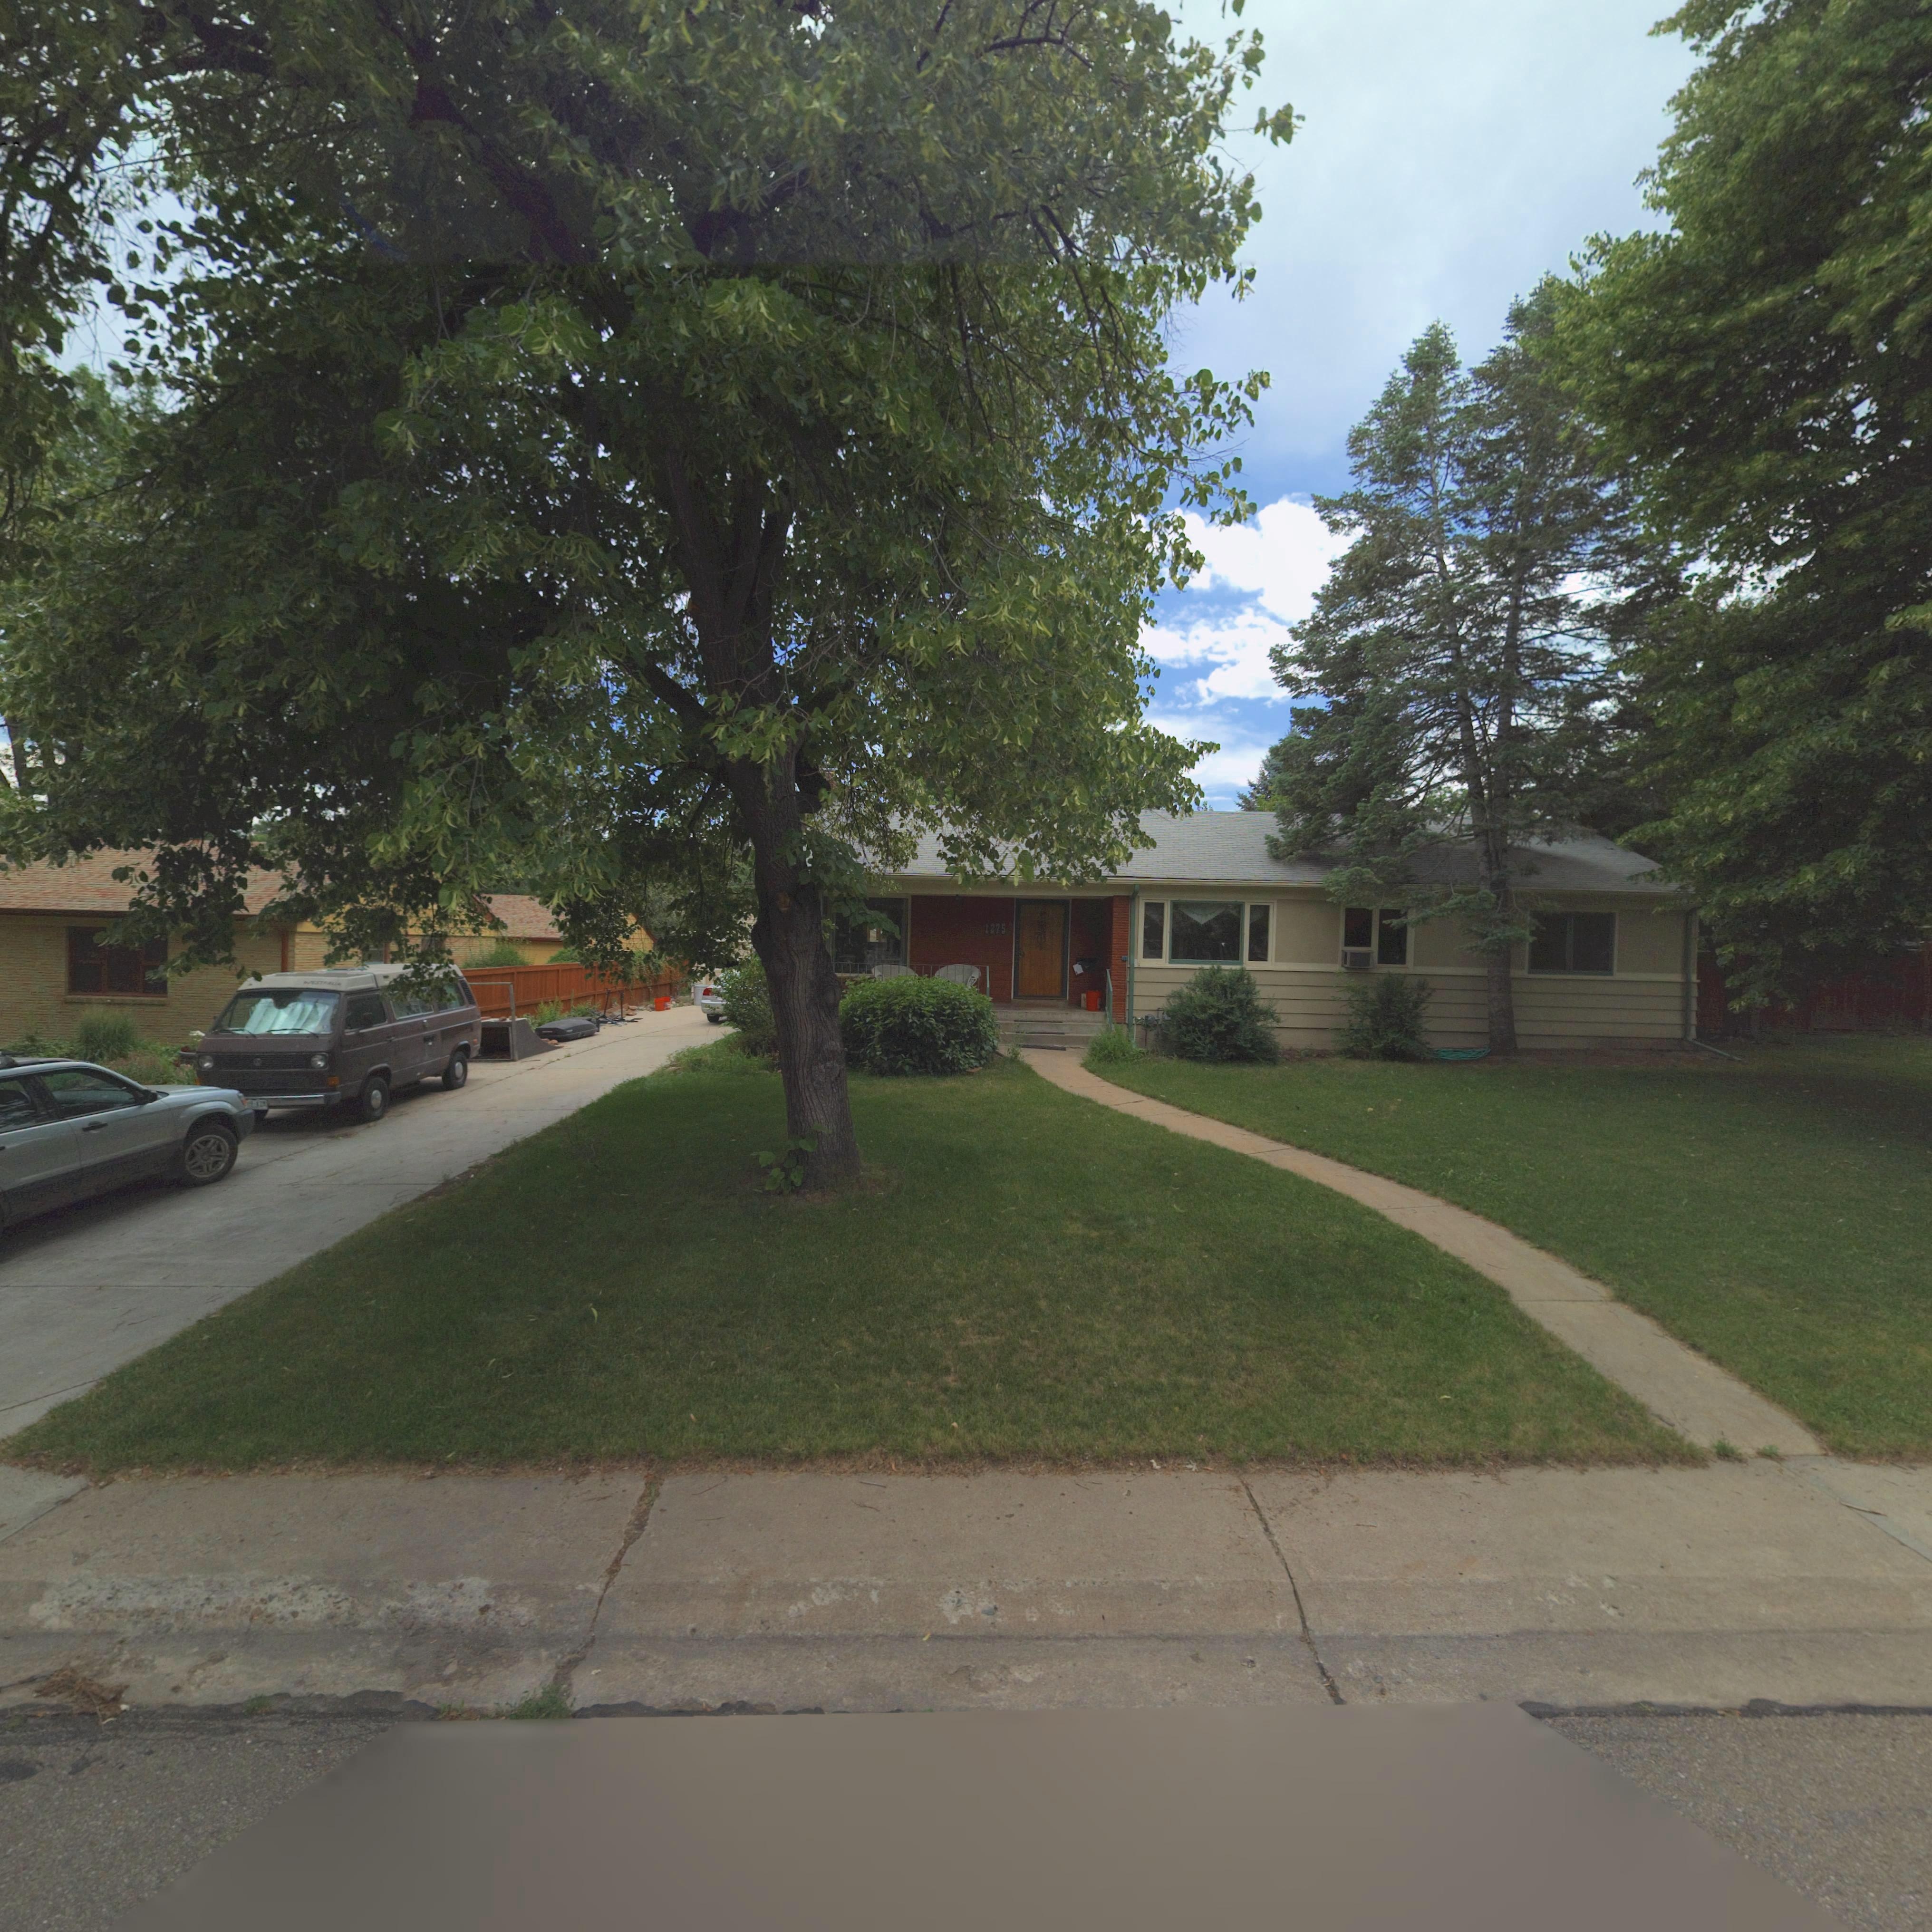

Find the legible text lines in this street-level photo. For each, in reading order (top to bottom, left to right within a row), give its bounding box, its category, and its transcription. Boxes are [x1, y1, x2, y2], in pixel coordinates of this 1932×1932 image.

[985, 922, 1005, 934] StreetNumber: 1275